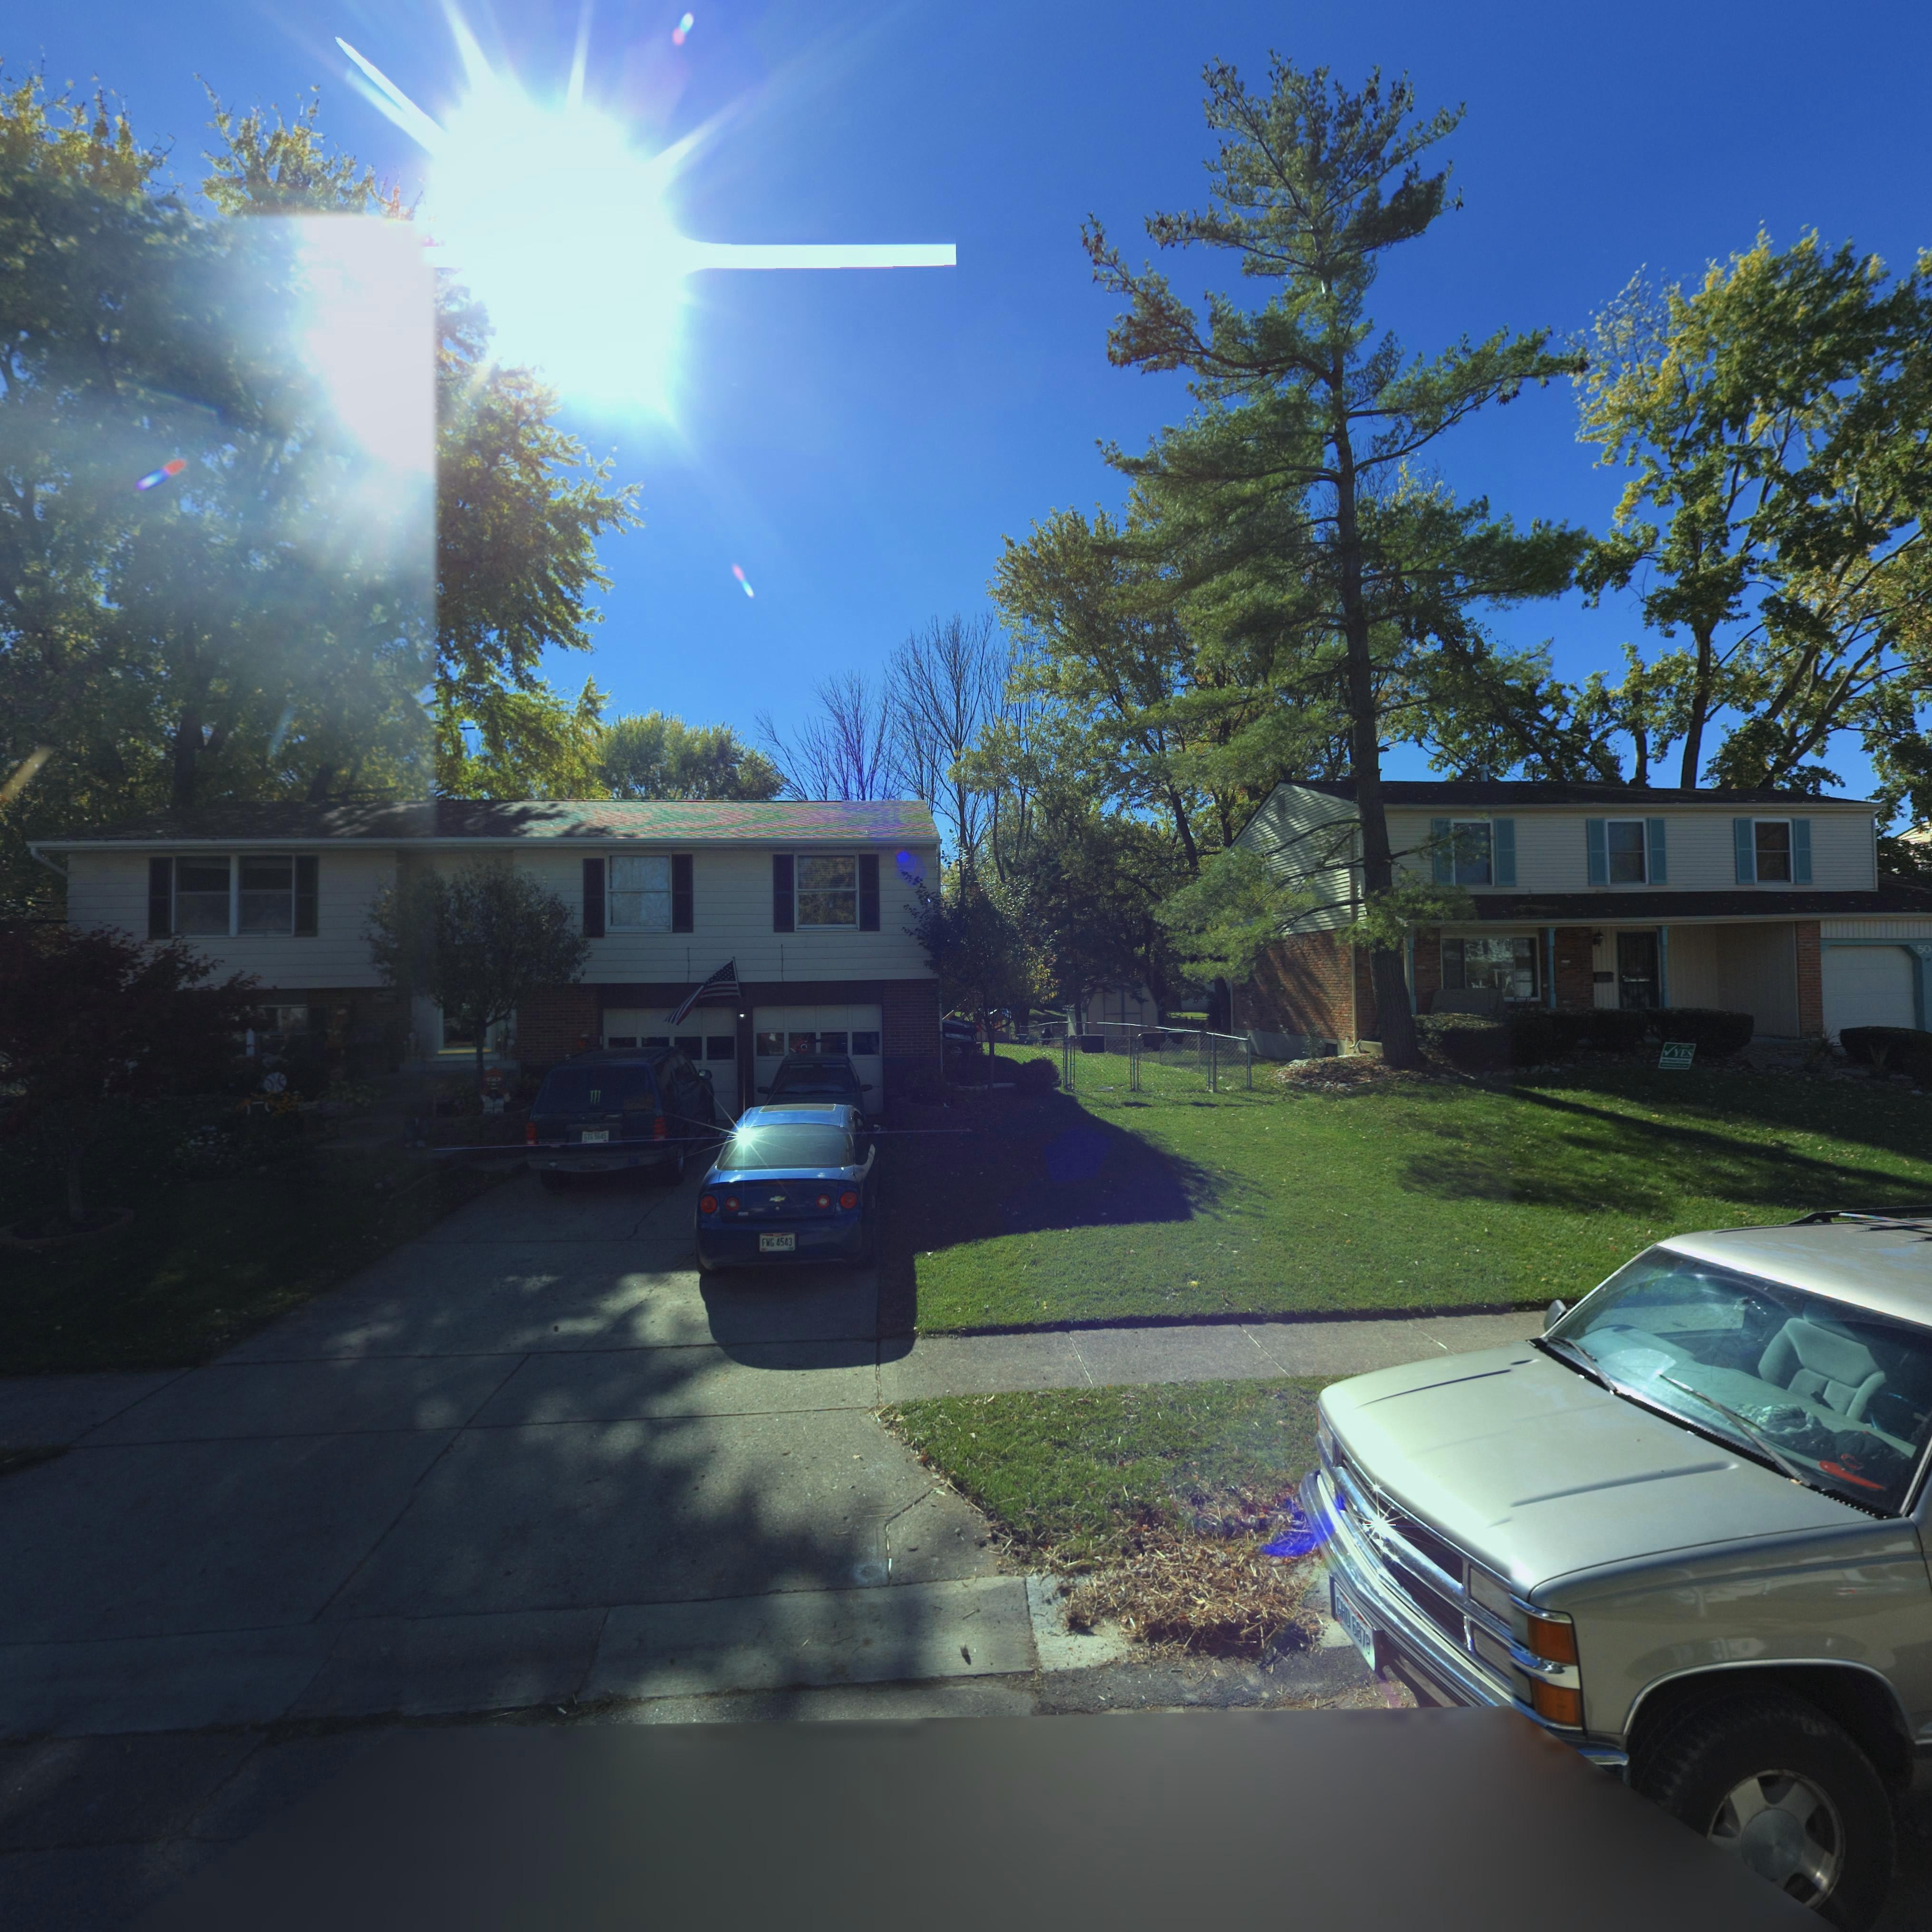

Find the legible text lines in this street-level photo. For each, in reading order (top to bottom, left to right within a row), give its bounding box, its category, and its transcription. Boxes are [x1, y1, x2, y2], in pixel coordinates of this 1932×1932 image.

[1917, 944, 1932, 955] StreetNumber: 50